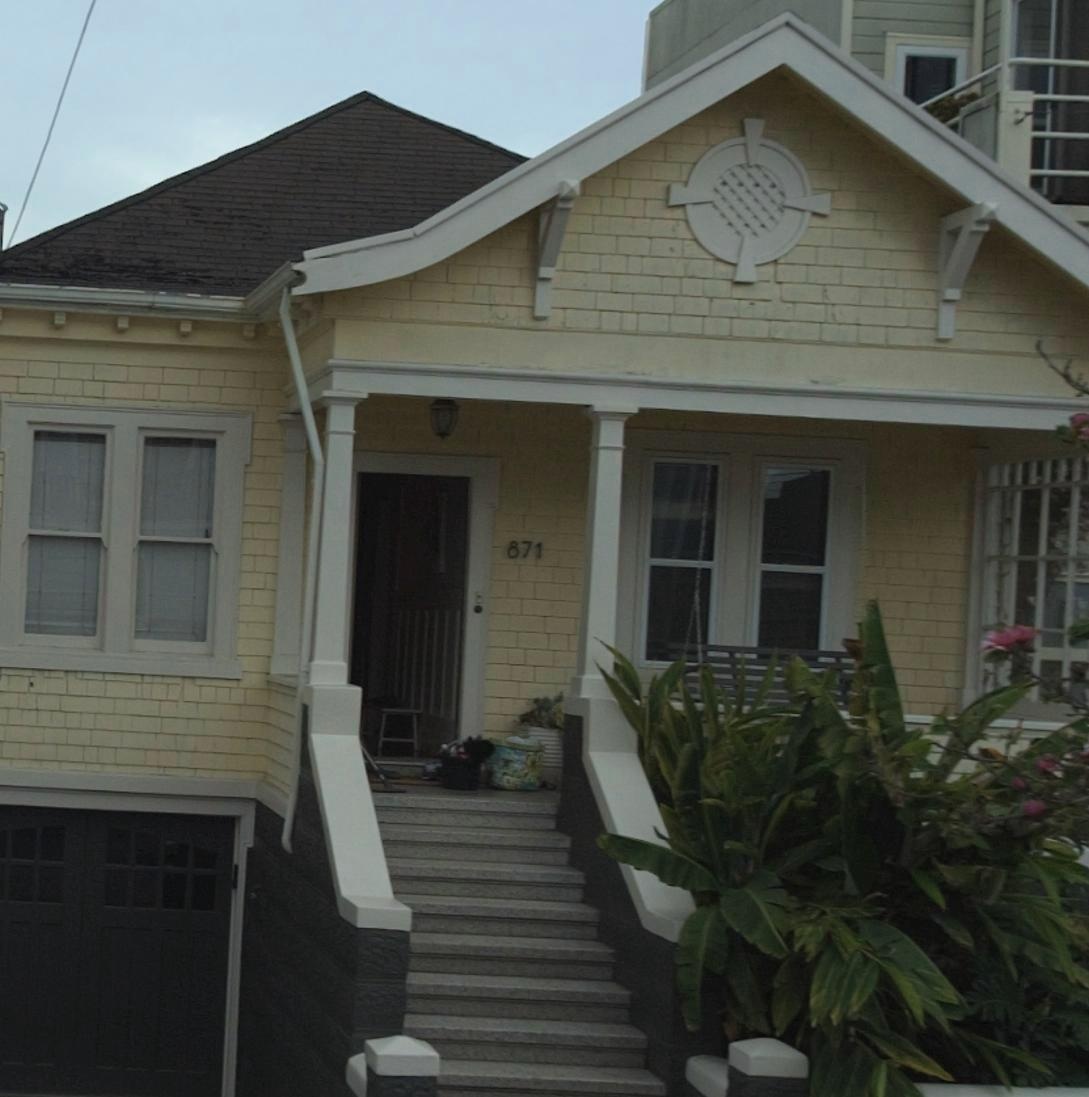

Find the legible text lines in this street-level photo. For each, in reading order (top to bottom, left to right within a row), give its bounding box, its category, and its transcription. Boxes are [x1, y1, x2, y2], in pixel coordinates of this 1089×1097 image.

[507, 540, 544, 560] StreetNumber: 871